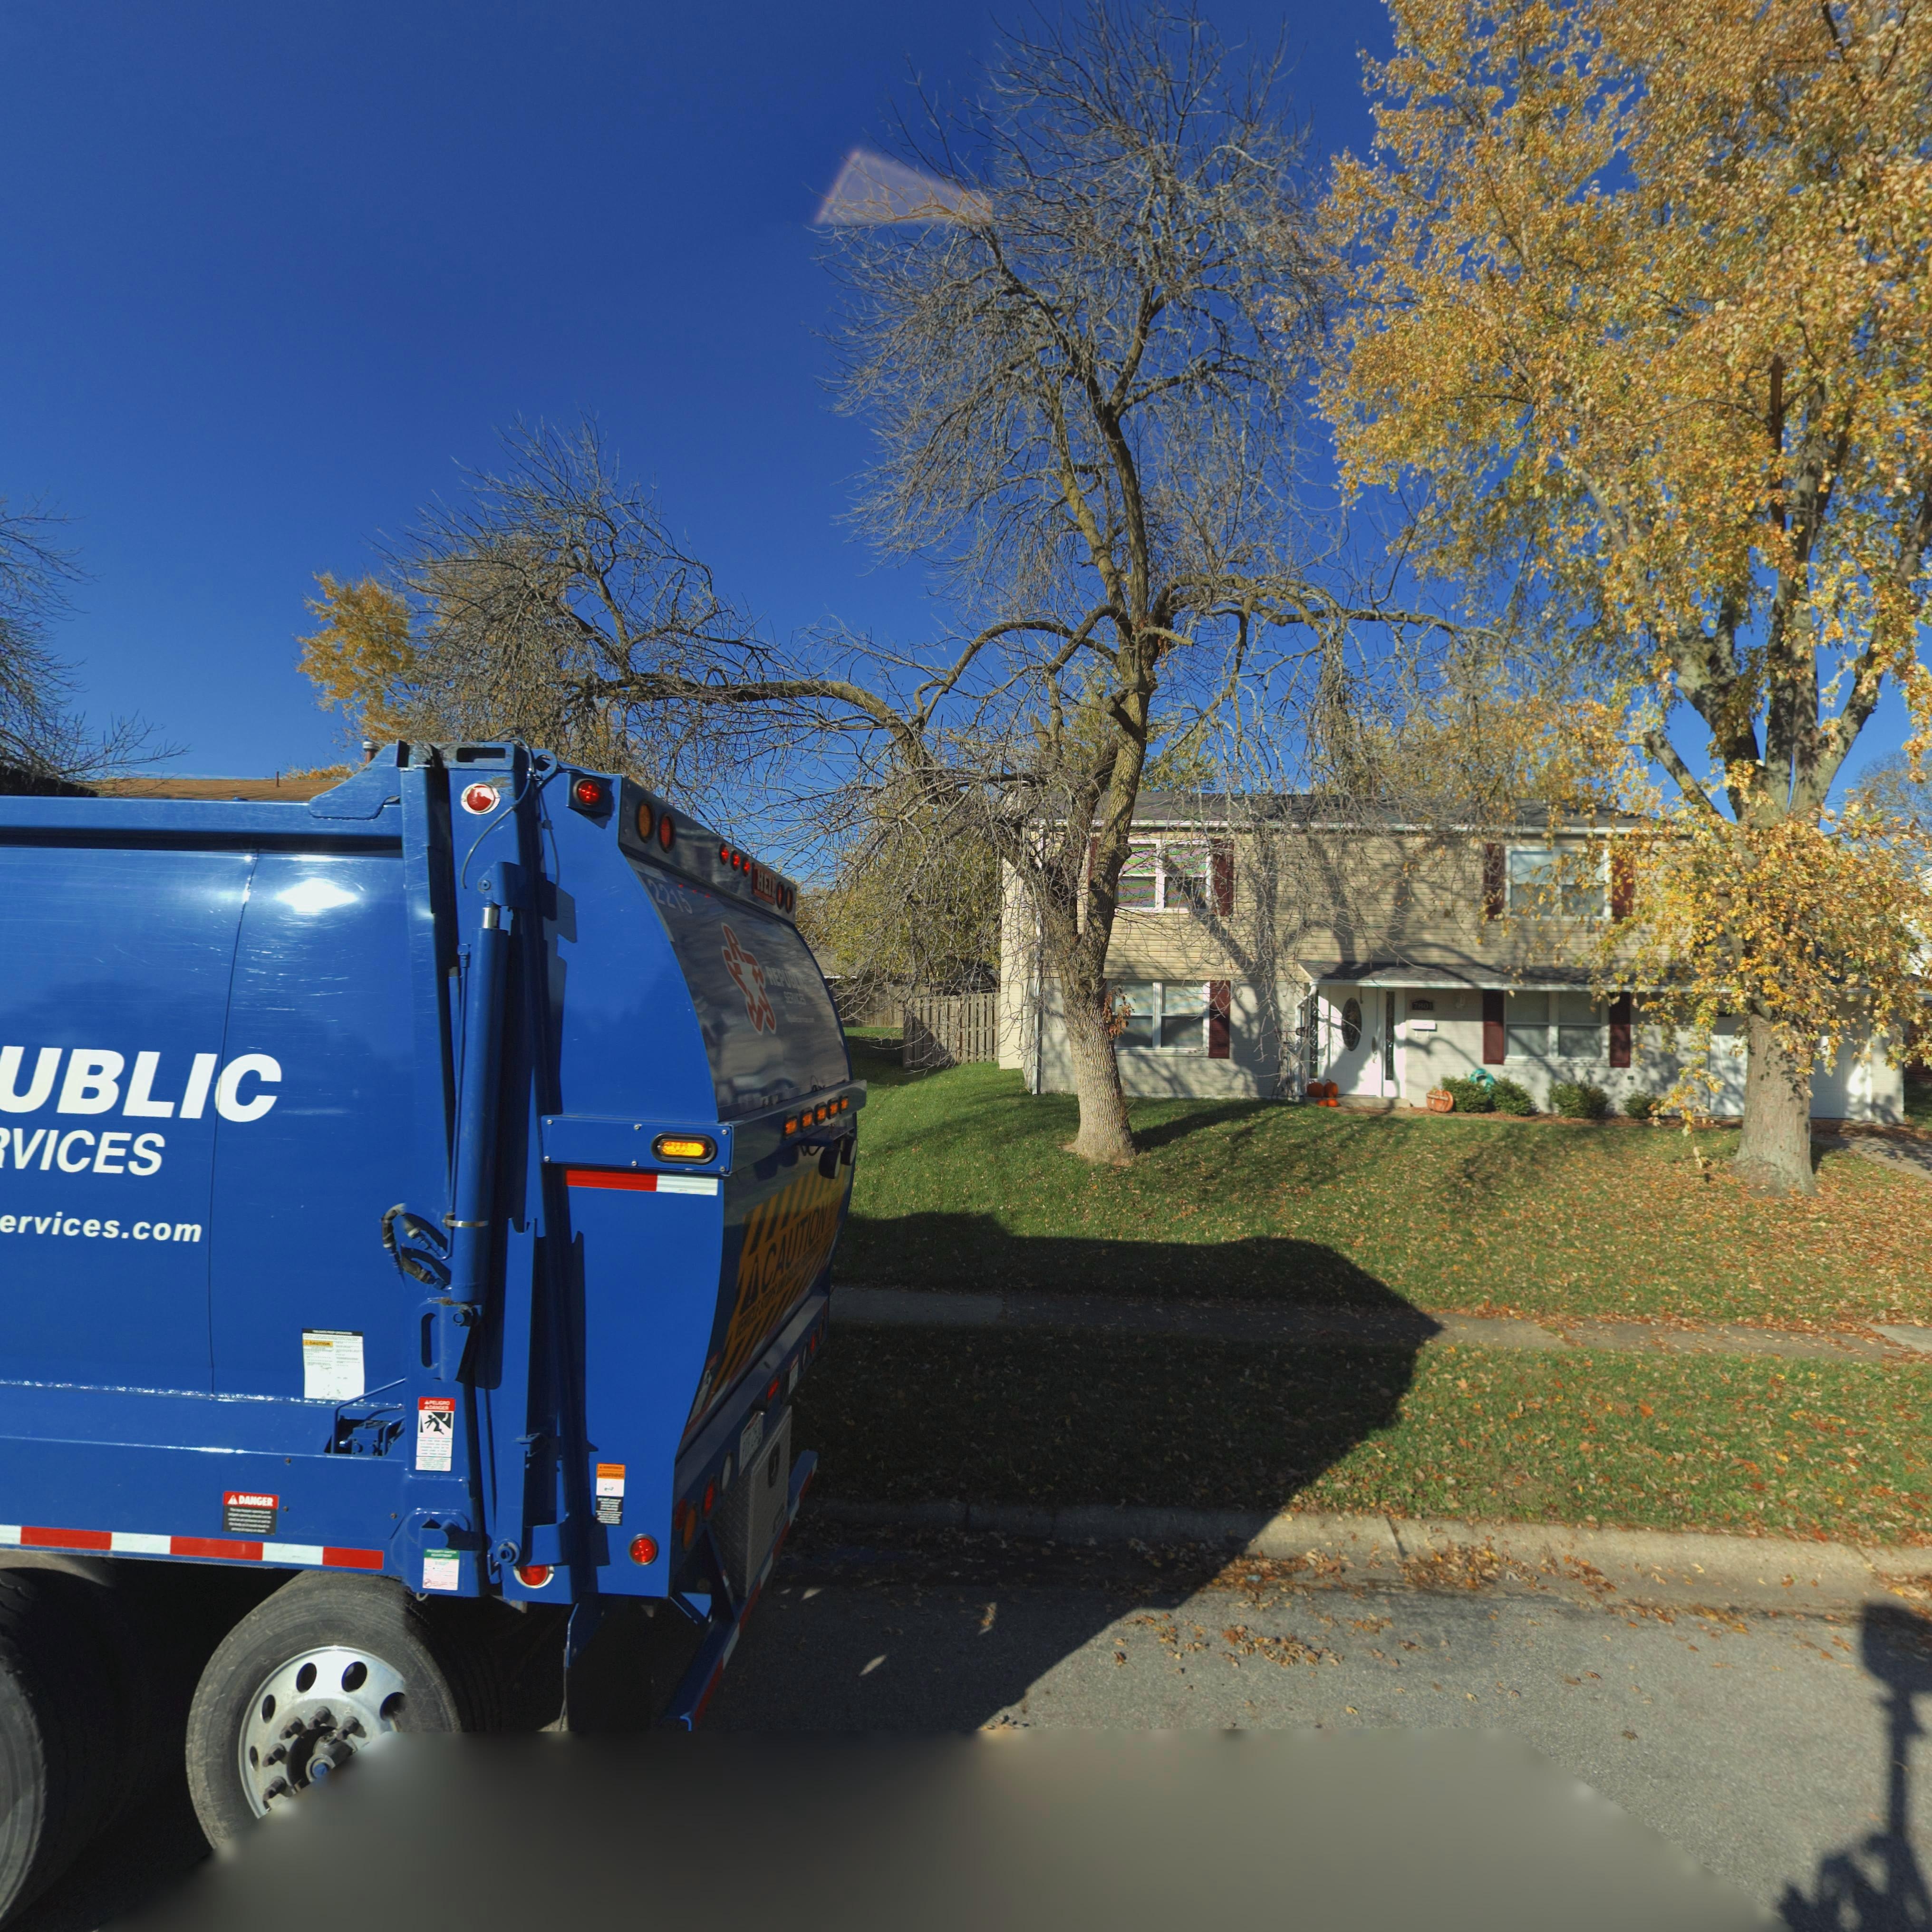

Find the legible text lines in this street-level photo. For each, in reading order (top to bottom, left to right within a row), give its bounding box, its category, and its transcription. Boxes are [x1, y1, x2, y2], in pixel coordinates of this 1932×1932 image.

[1413, 1002, 1432, 1010] StreetNumber: 7801